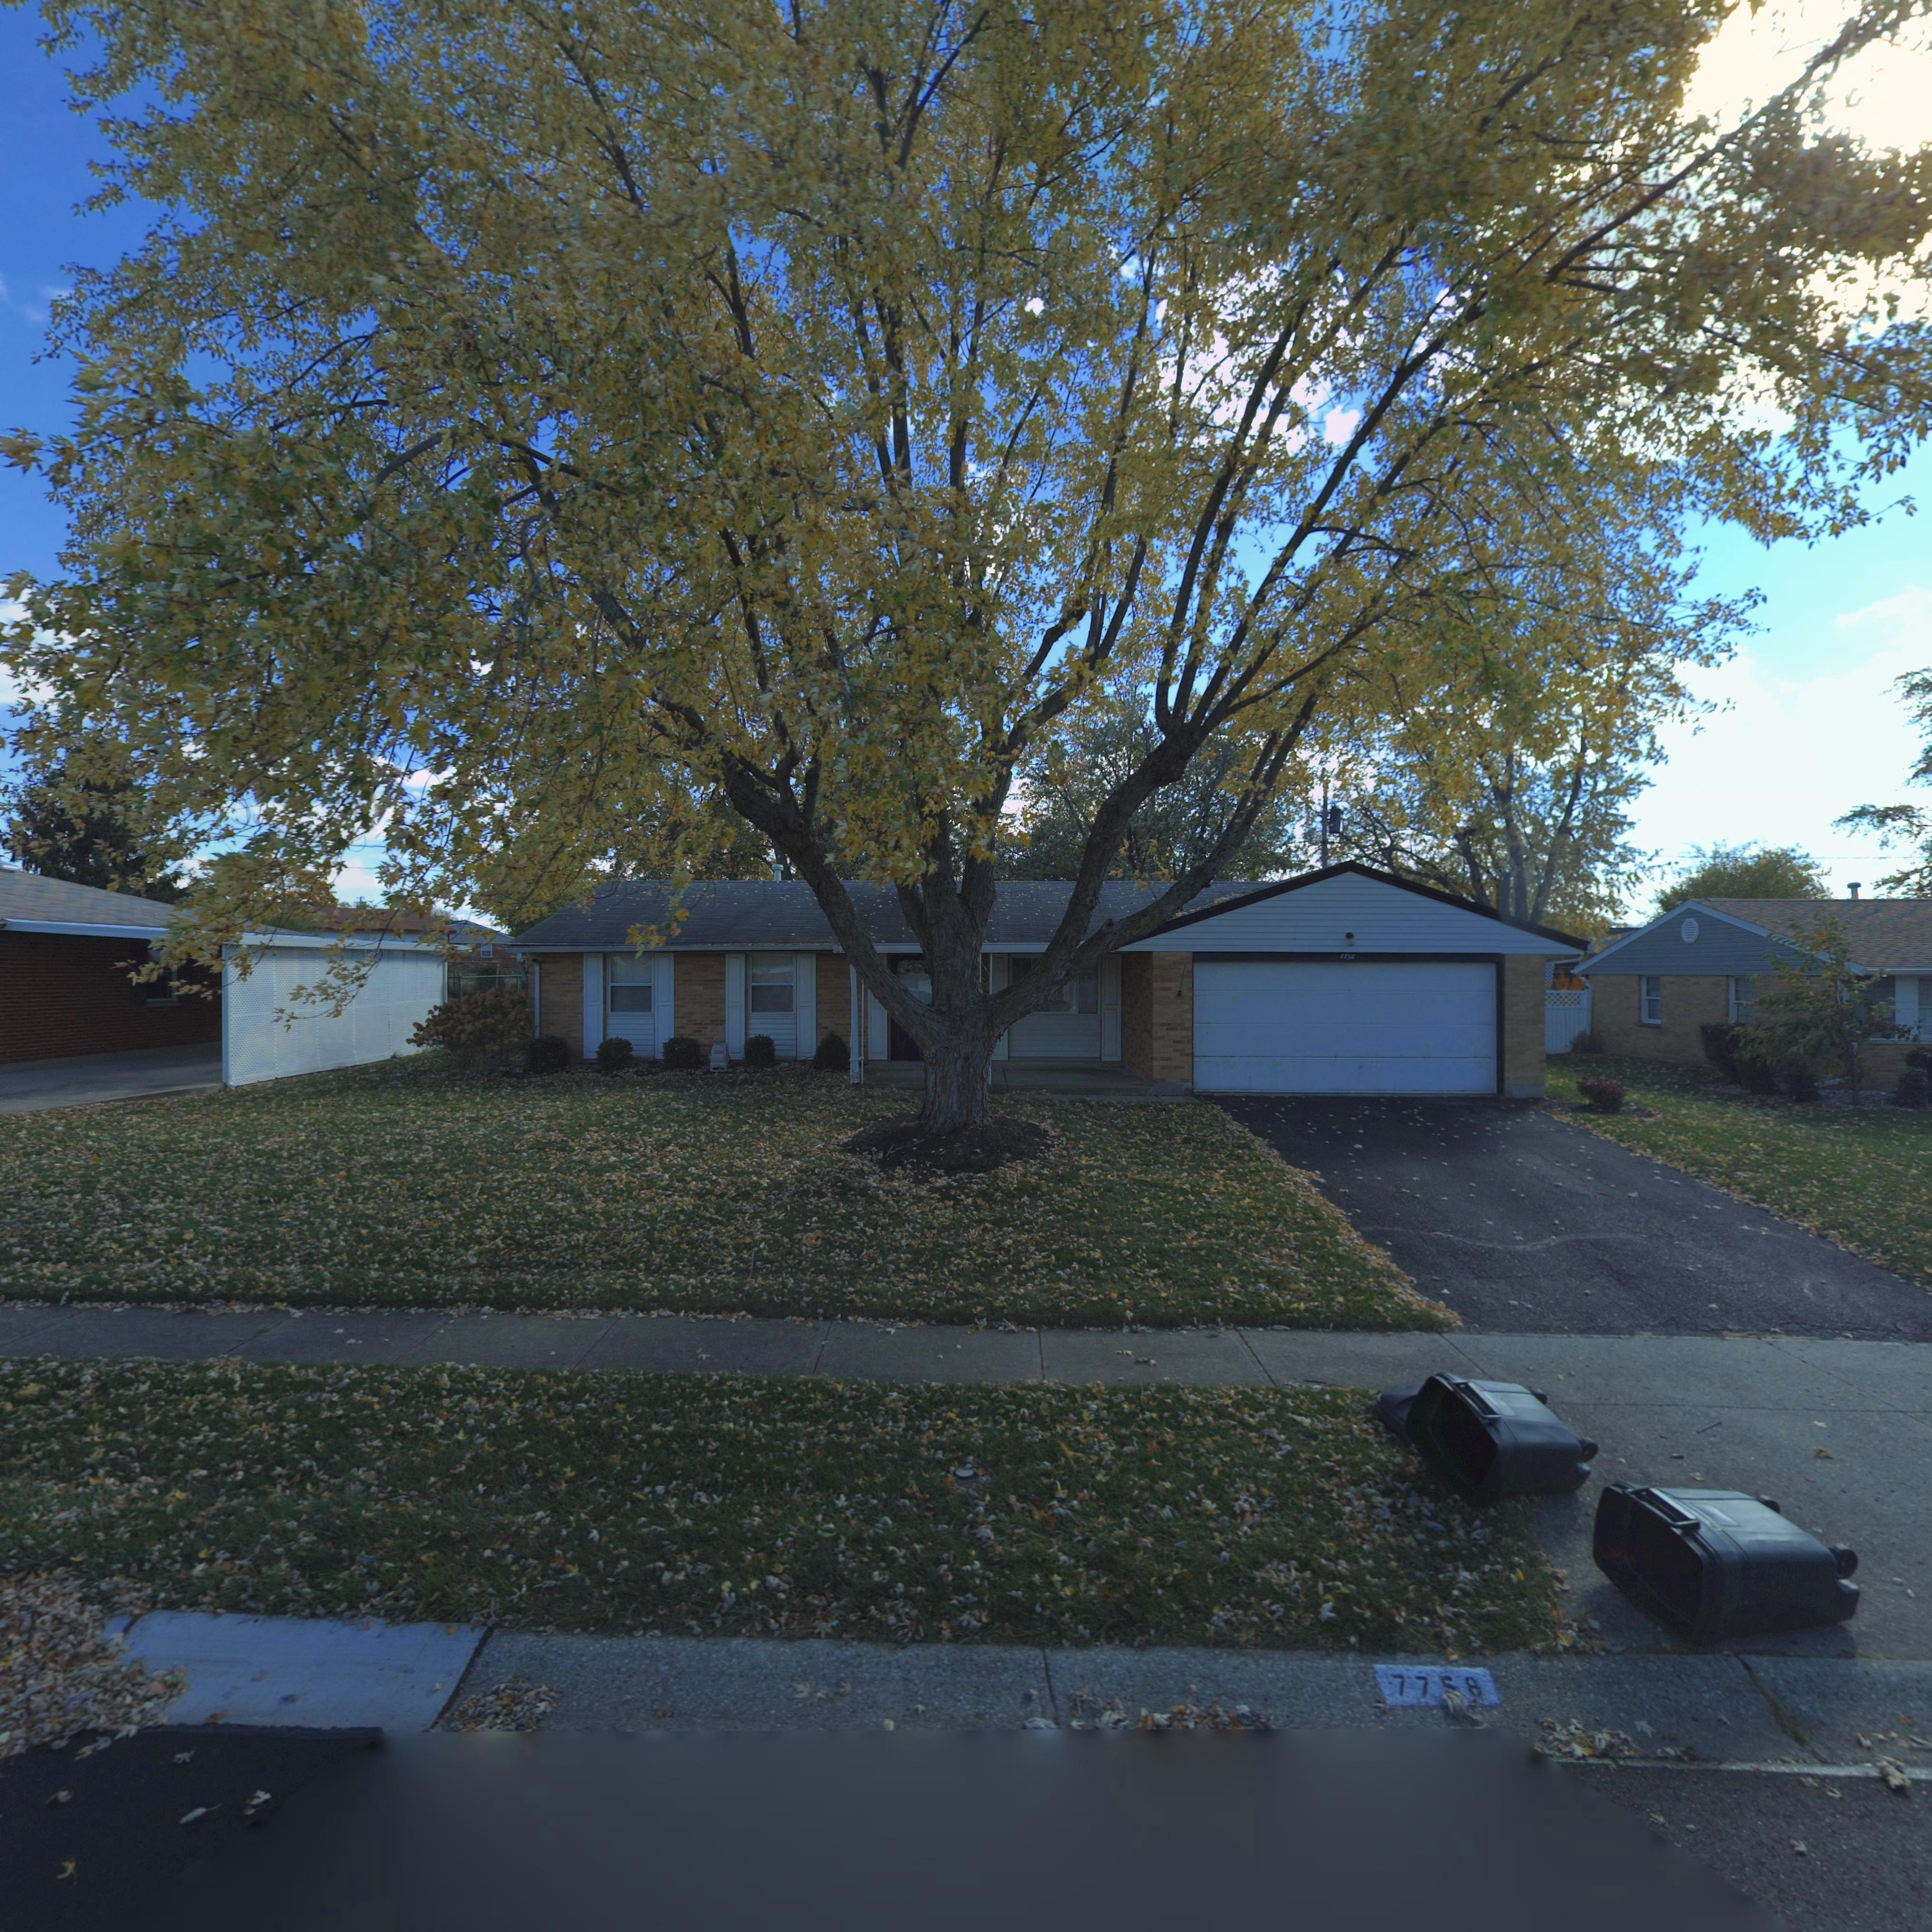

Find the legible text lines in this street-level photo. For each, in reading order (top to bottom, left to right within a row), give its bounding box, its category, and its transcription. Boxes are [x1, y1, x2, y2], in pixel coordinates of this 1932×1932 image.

[1339, 953, 1356, 960] StreetNumber: 7758
[1390, 1673, 1486, 1698] StreetNumber: 77*8